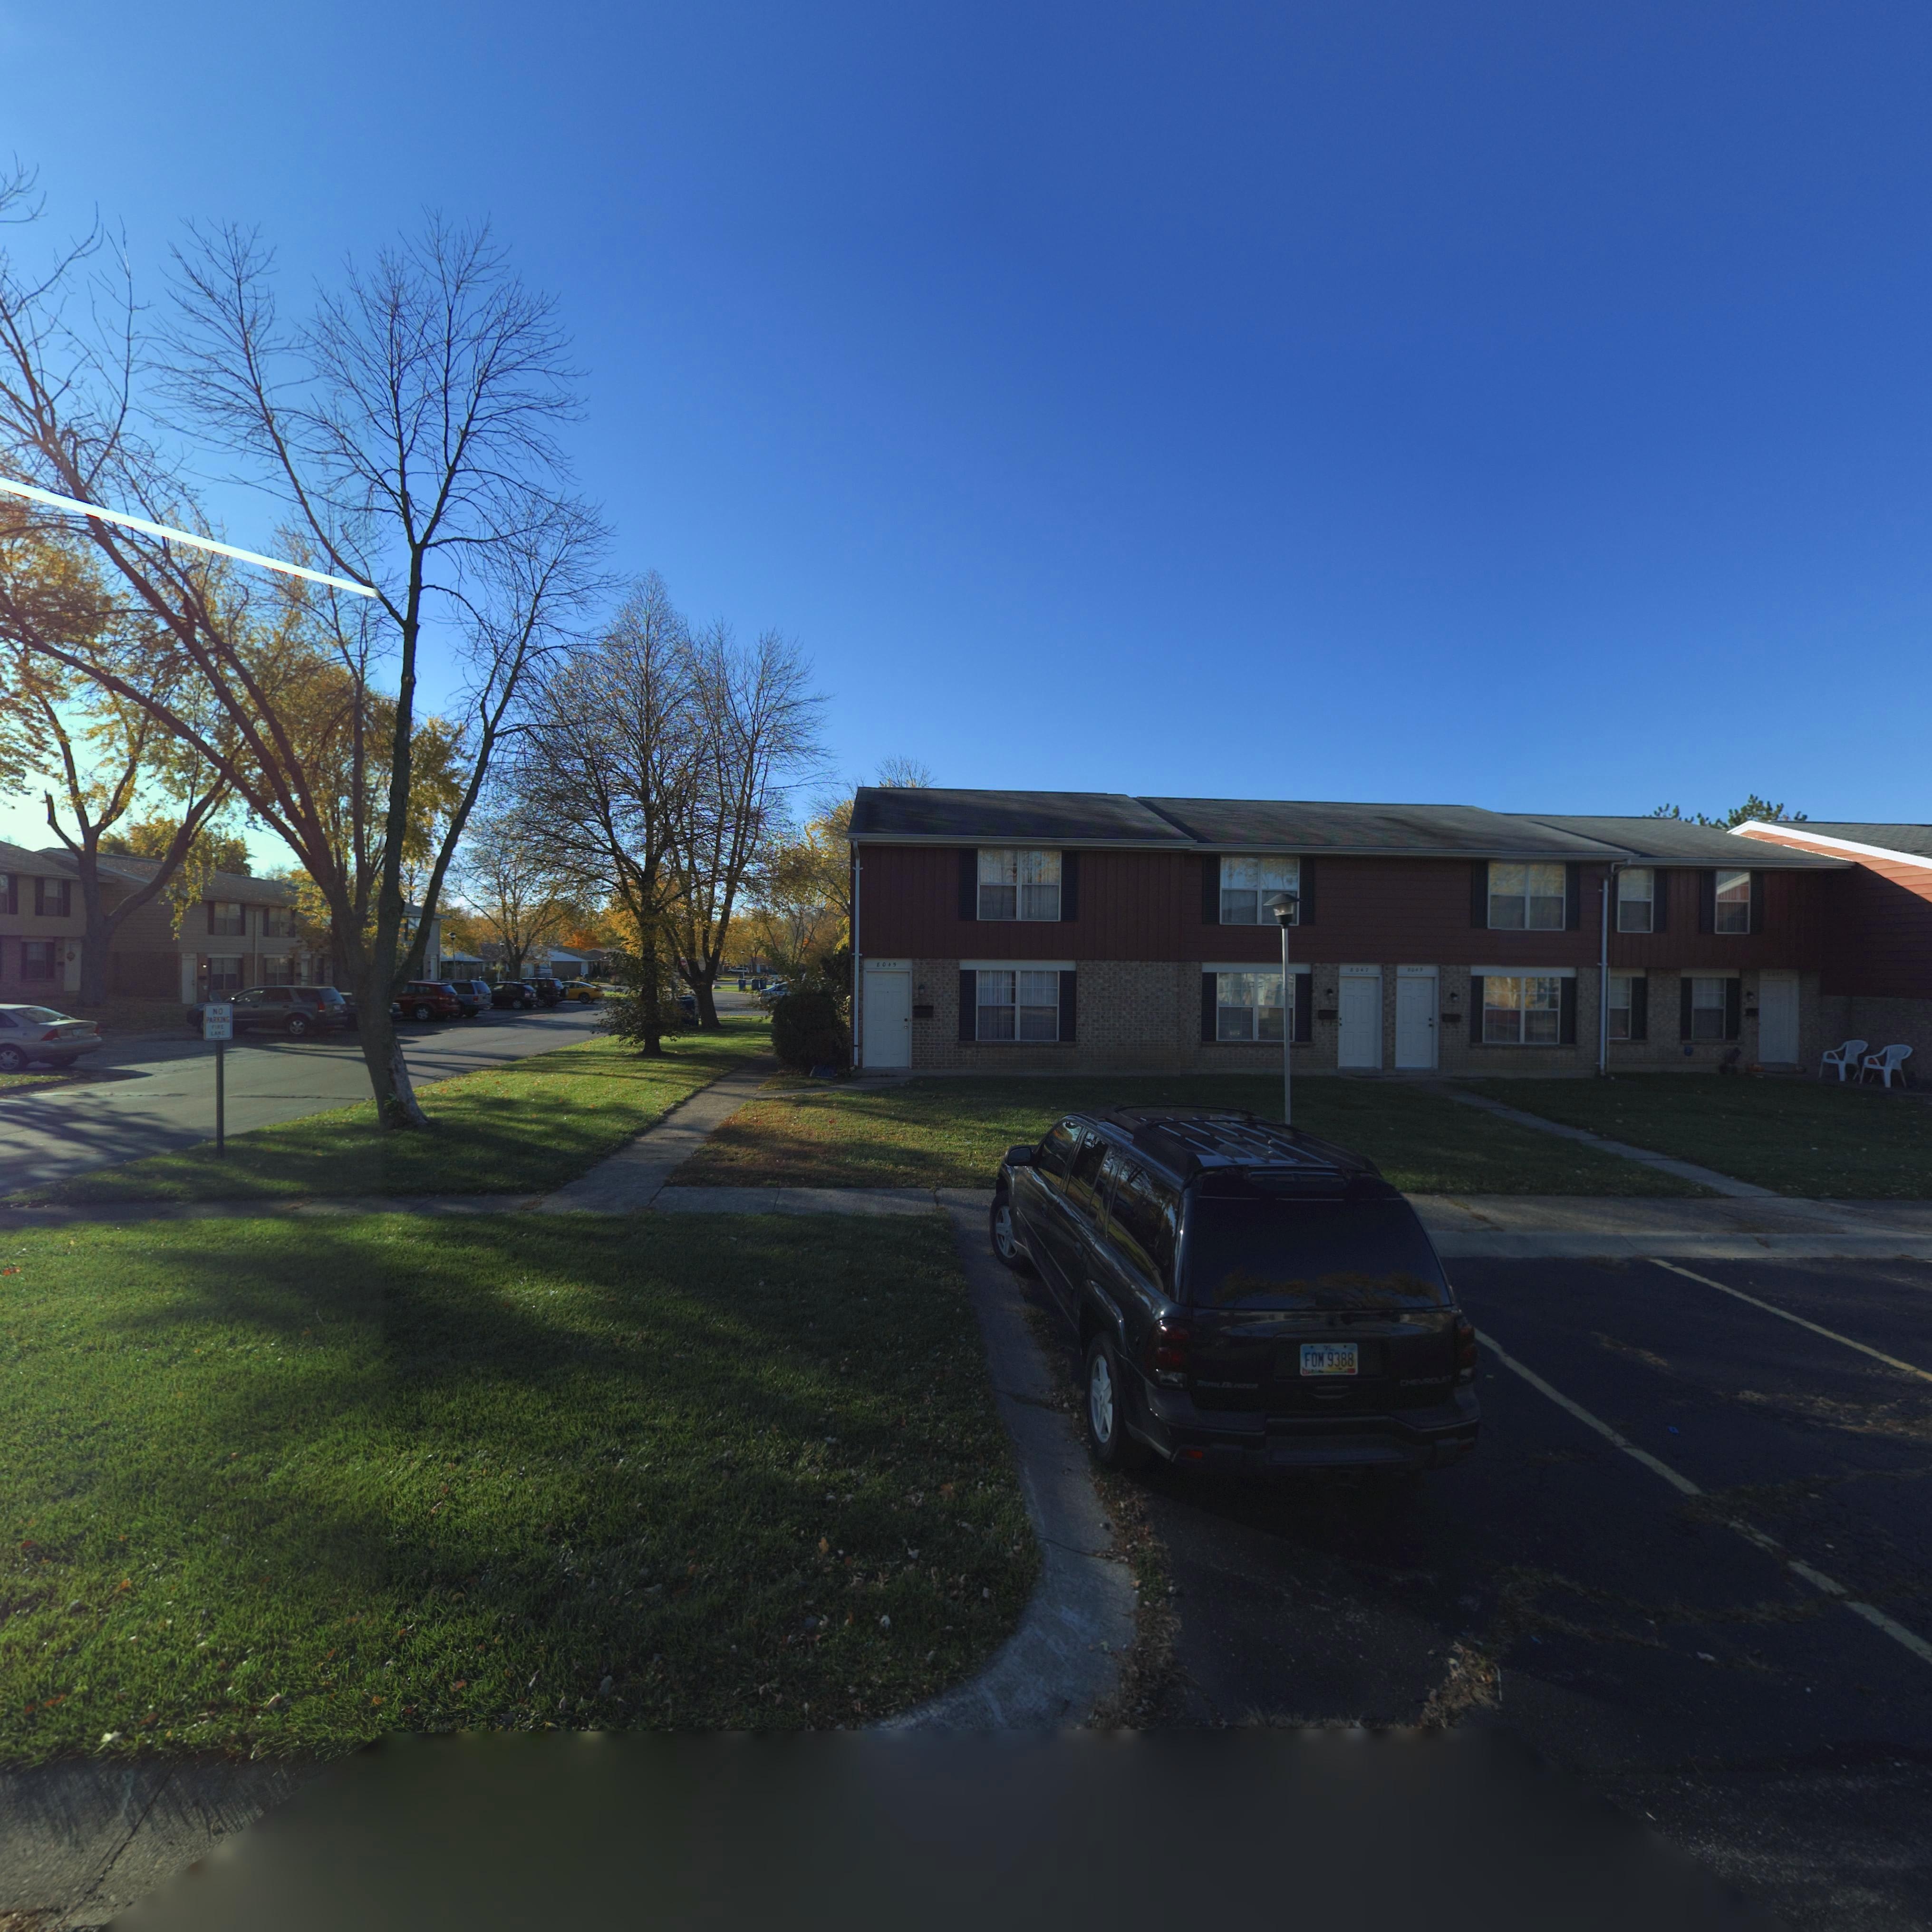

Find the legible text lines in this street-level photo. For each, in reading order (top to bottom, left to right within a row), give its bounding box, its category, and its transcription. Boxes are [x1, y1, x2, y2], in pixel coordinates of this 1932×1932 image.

[875, 961, 897, 968] StreetNumber: 8045
[1348, 966, 1371, 974] StreetNumber: *0*7
[209, 1006, 223, 1015] None: NO
[204, 1015, 230, 1024] None: PARKING
[209, 1023, 225, 1030] None: FIRE
[209, 1029, 225, 1035] None: LANE
[1304, 1349, 1354, 1370] None: FOM 9388